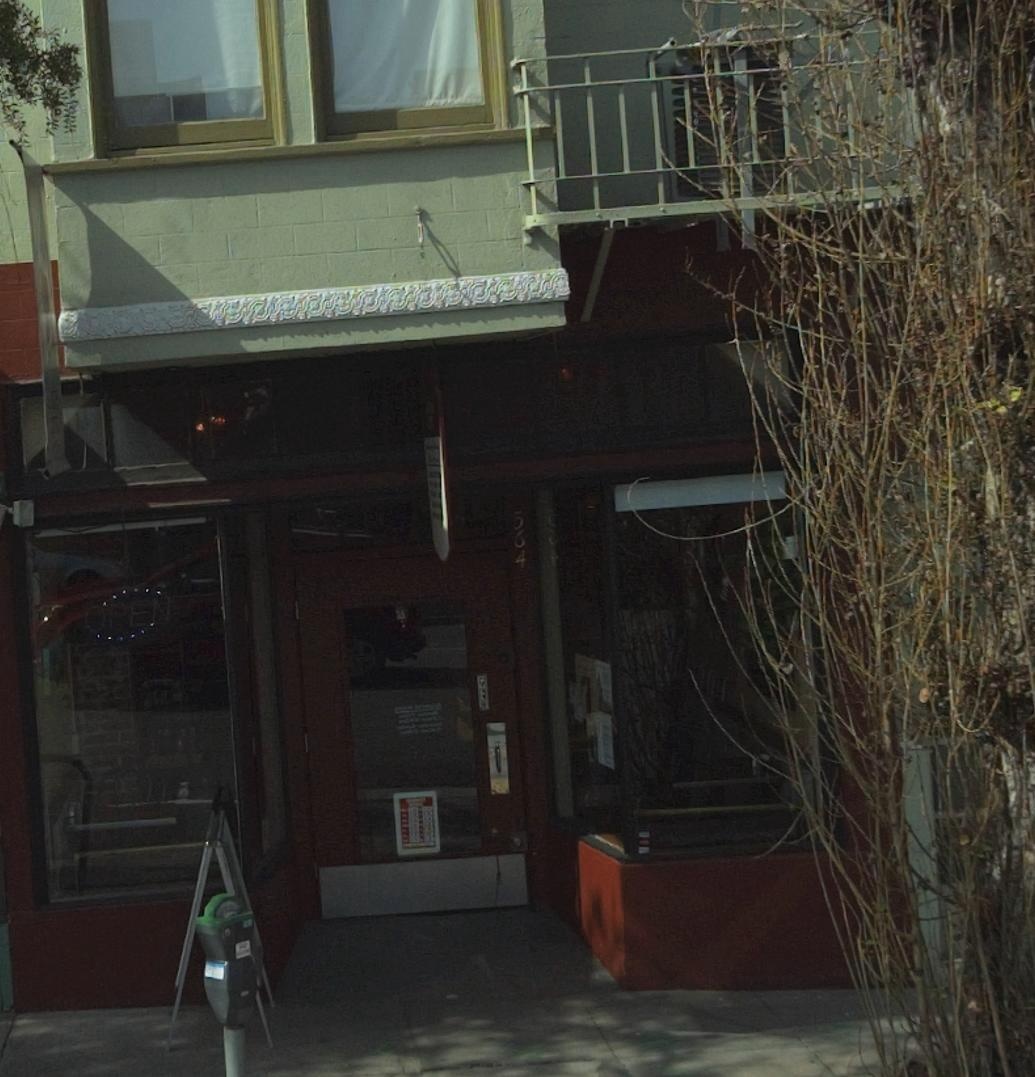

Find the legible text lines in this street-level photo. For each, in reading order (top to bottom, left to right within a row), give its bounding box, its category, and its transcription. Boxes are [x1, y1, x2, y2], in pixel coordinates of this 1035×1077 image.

[511, 509, 530, 571] StreetNumber: 564
[80, 594, 174, 637] None: OPEN